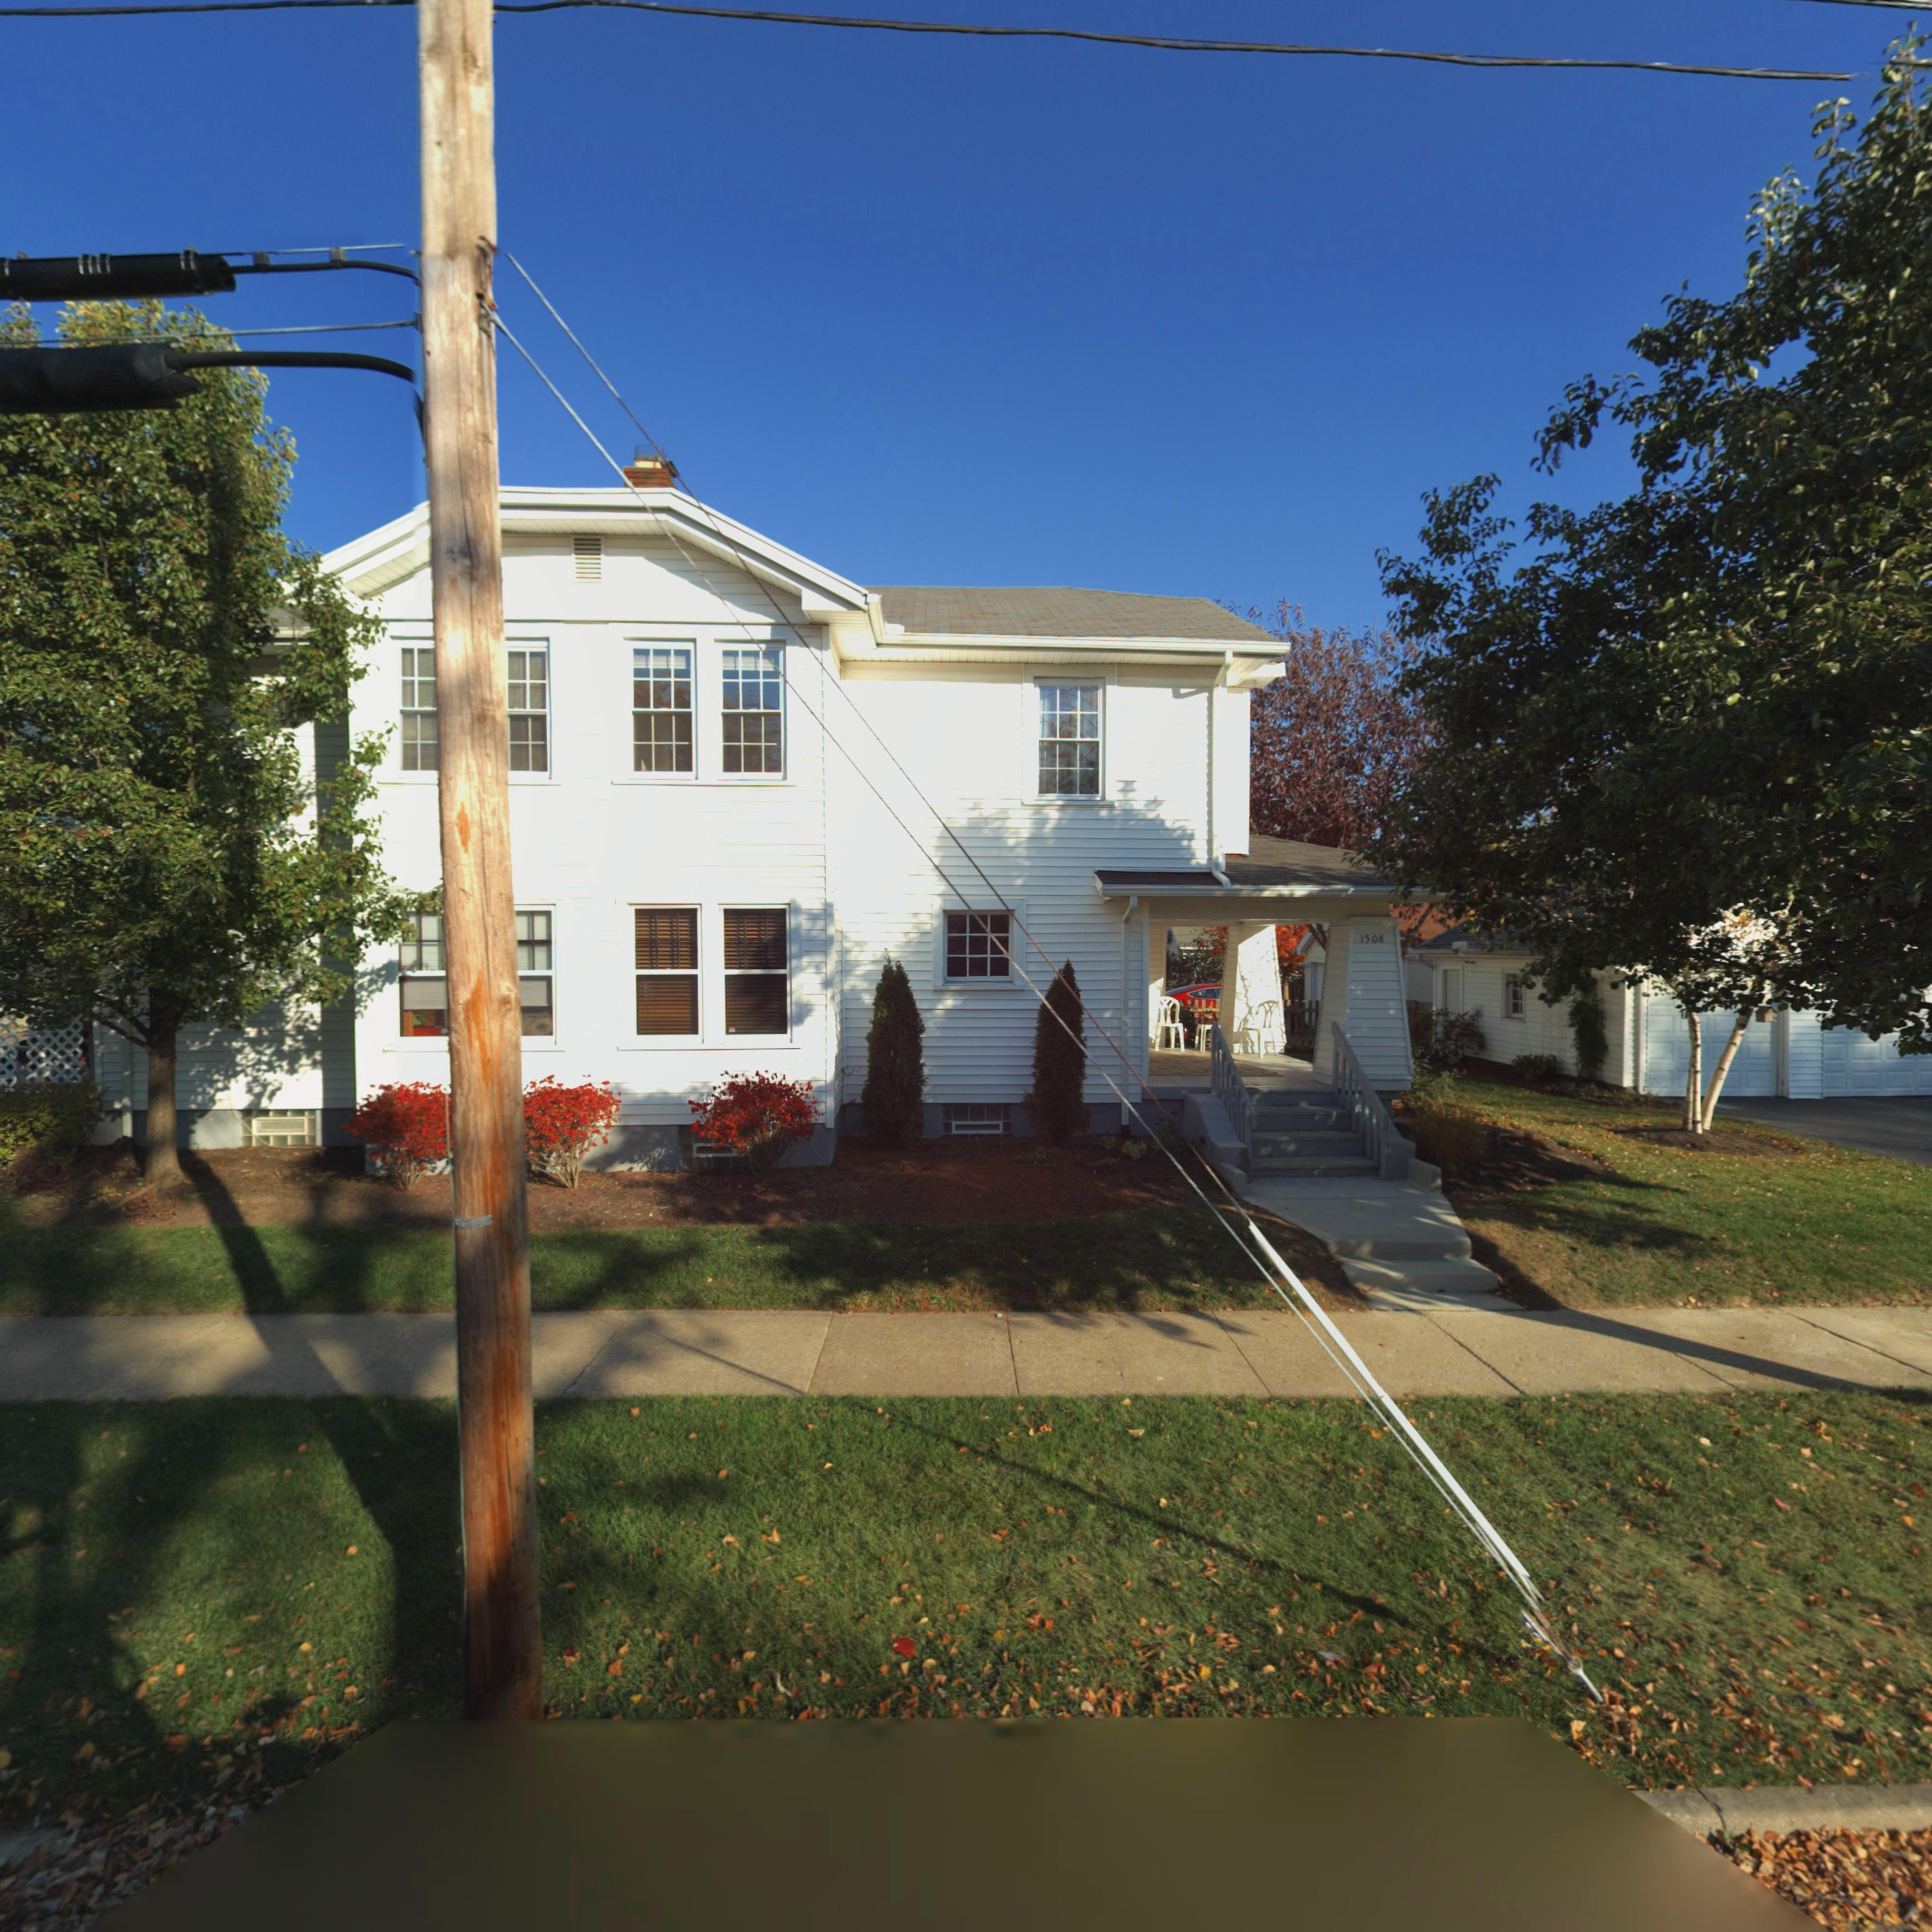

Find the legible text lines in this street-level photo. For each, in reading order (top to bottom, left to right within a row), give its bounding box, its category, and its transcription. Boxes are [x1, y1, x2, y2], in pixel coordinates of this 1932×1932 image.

[1360, 933, 1385, 944] StreetNumber: 1508